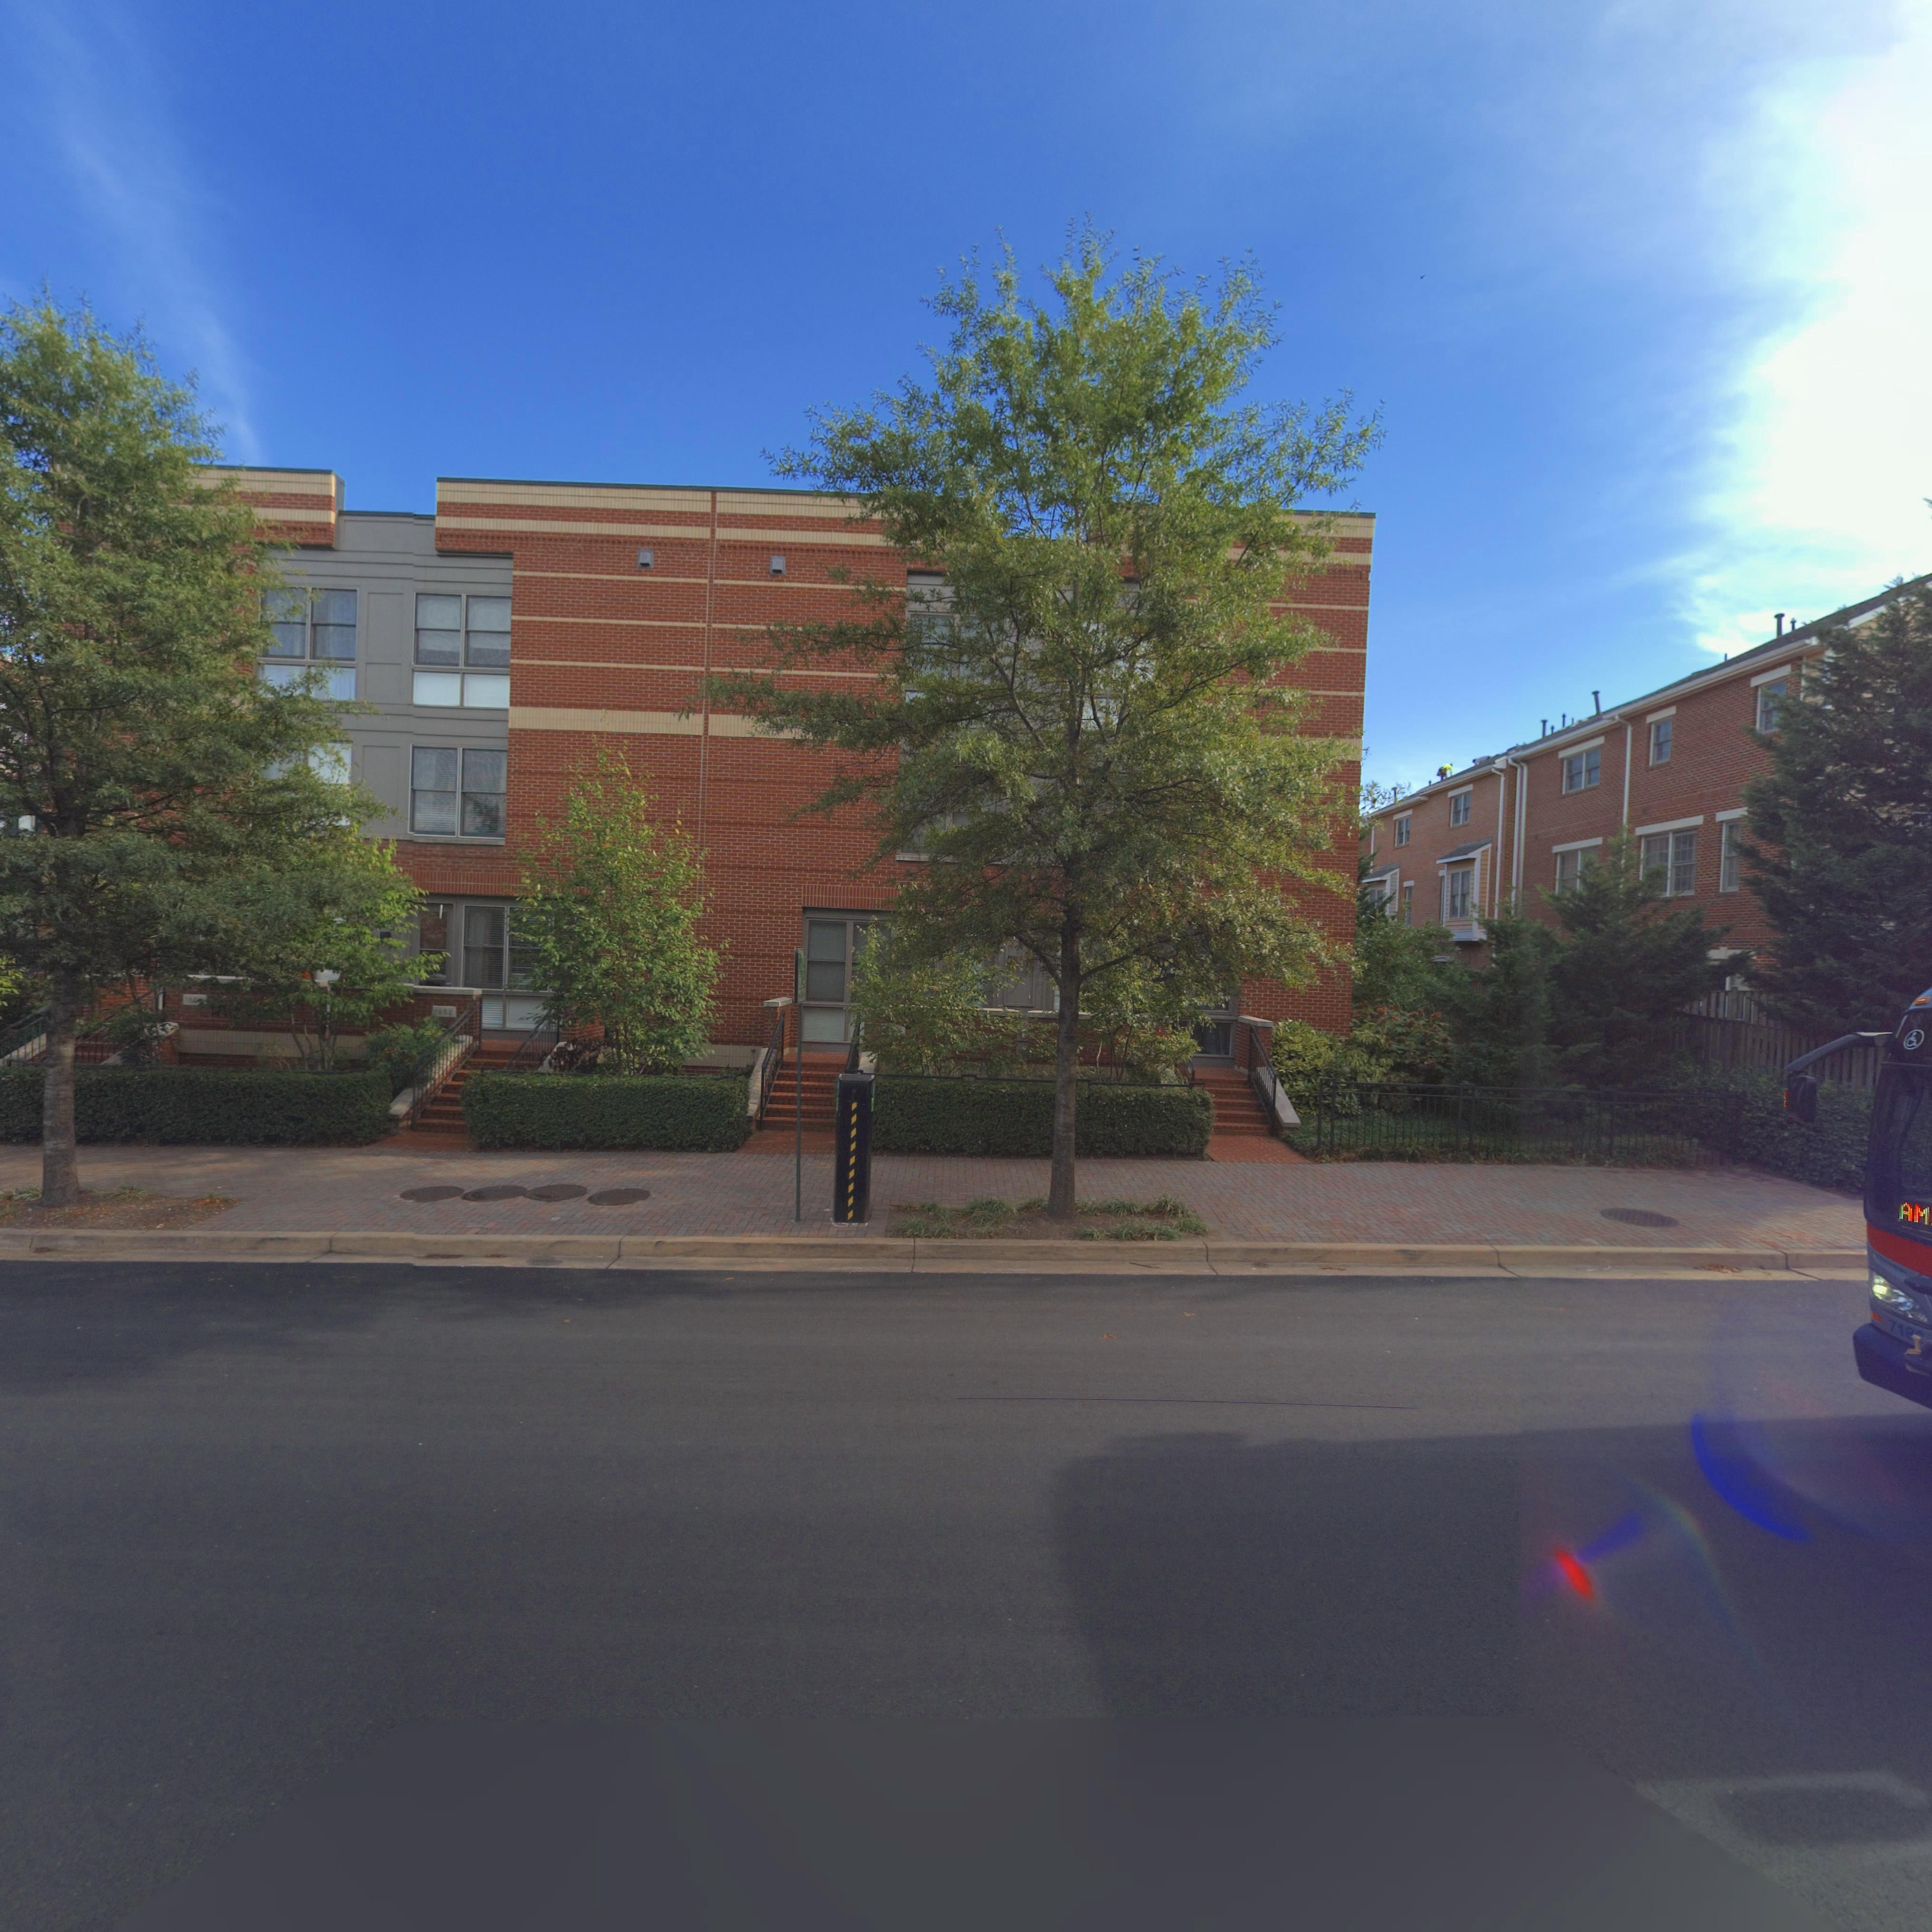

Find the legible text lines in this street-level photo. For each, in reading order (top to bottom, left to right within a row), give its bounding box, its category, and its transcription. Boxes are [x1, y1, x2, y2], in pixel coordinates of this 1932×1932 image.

[435, 1008, 453, 1015] StreetNumber: 1852
[1897, 1198, 1931, 1227] None: AM